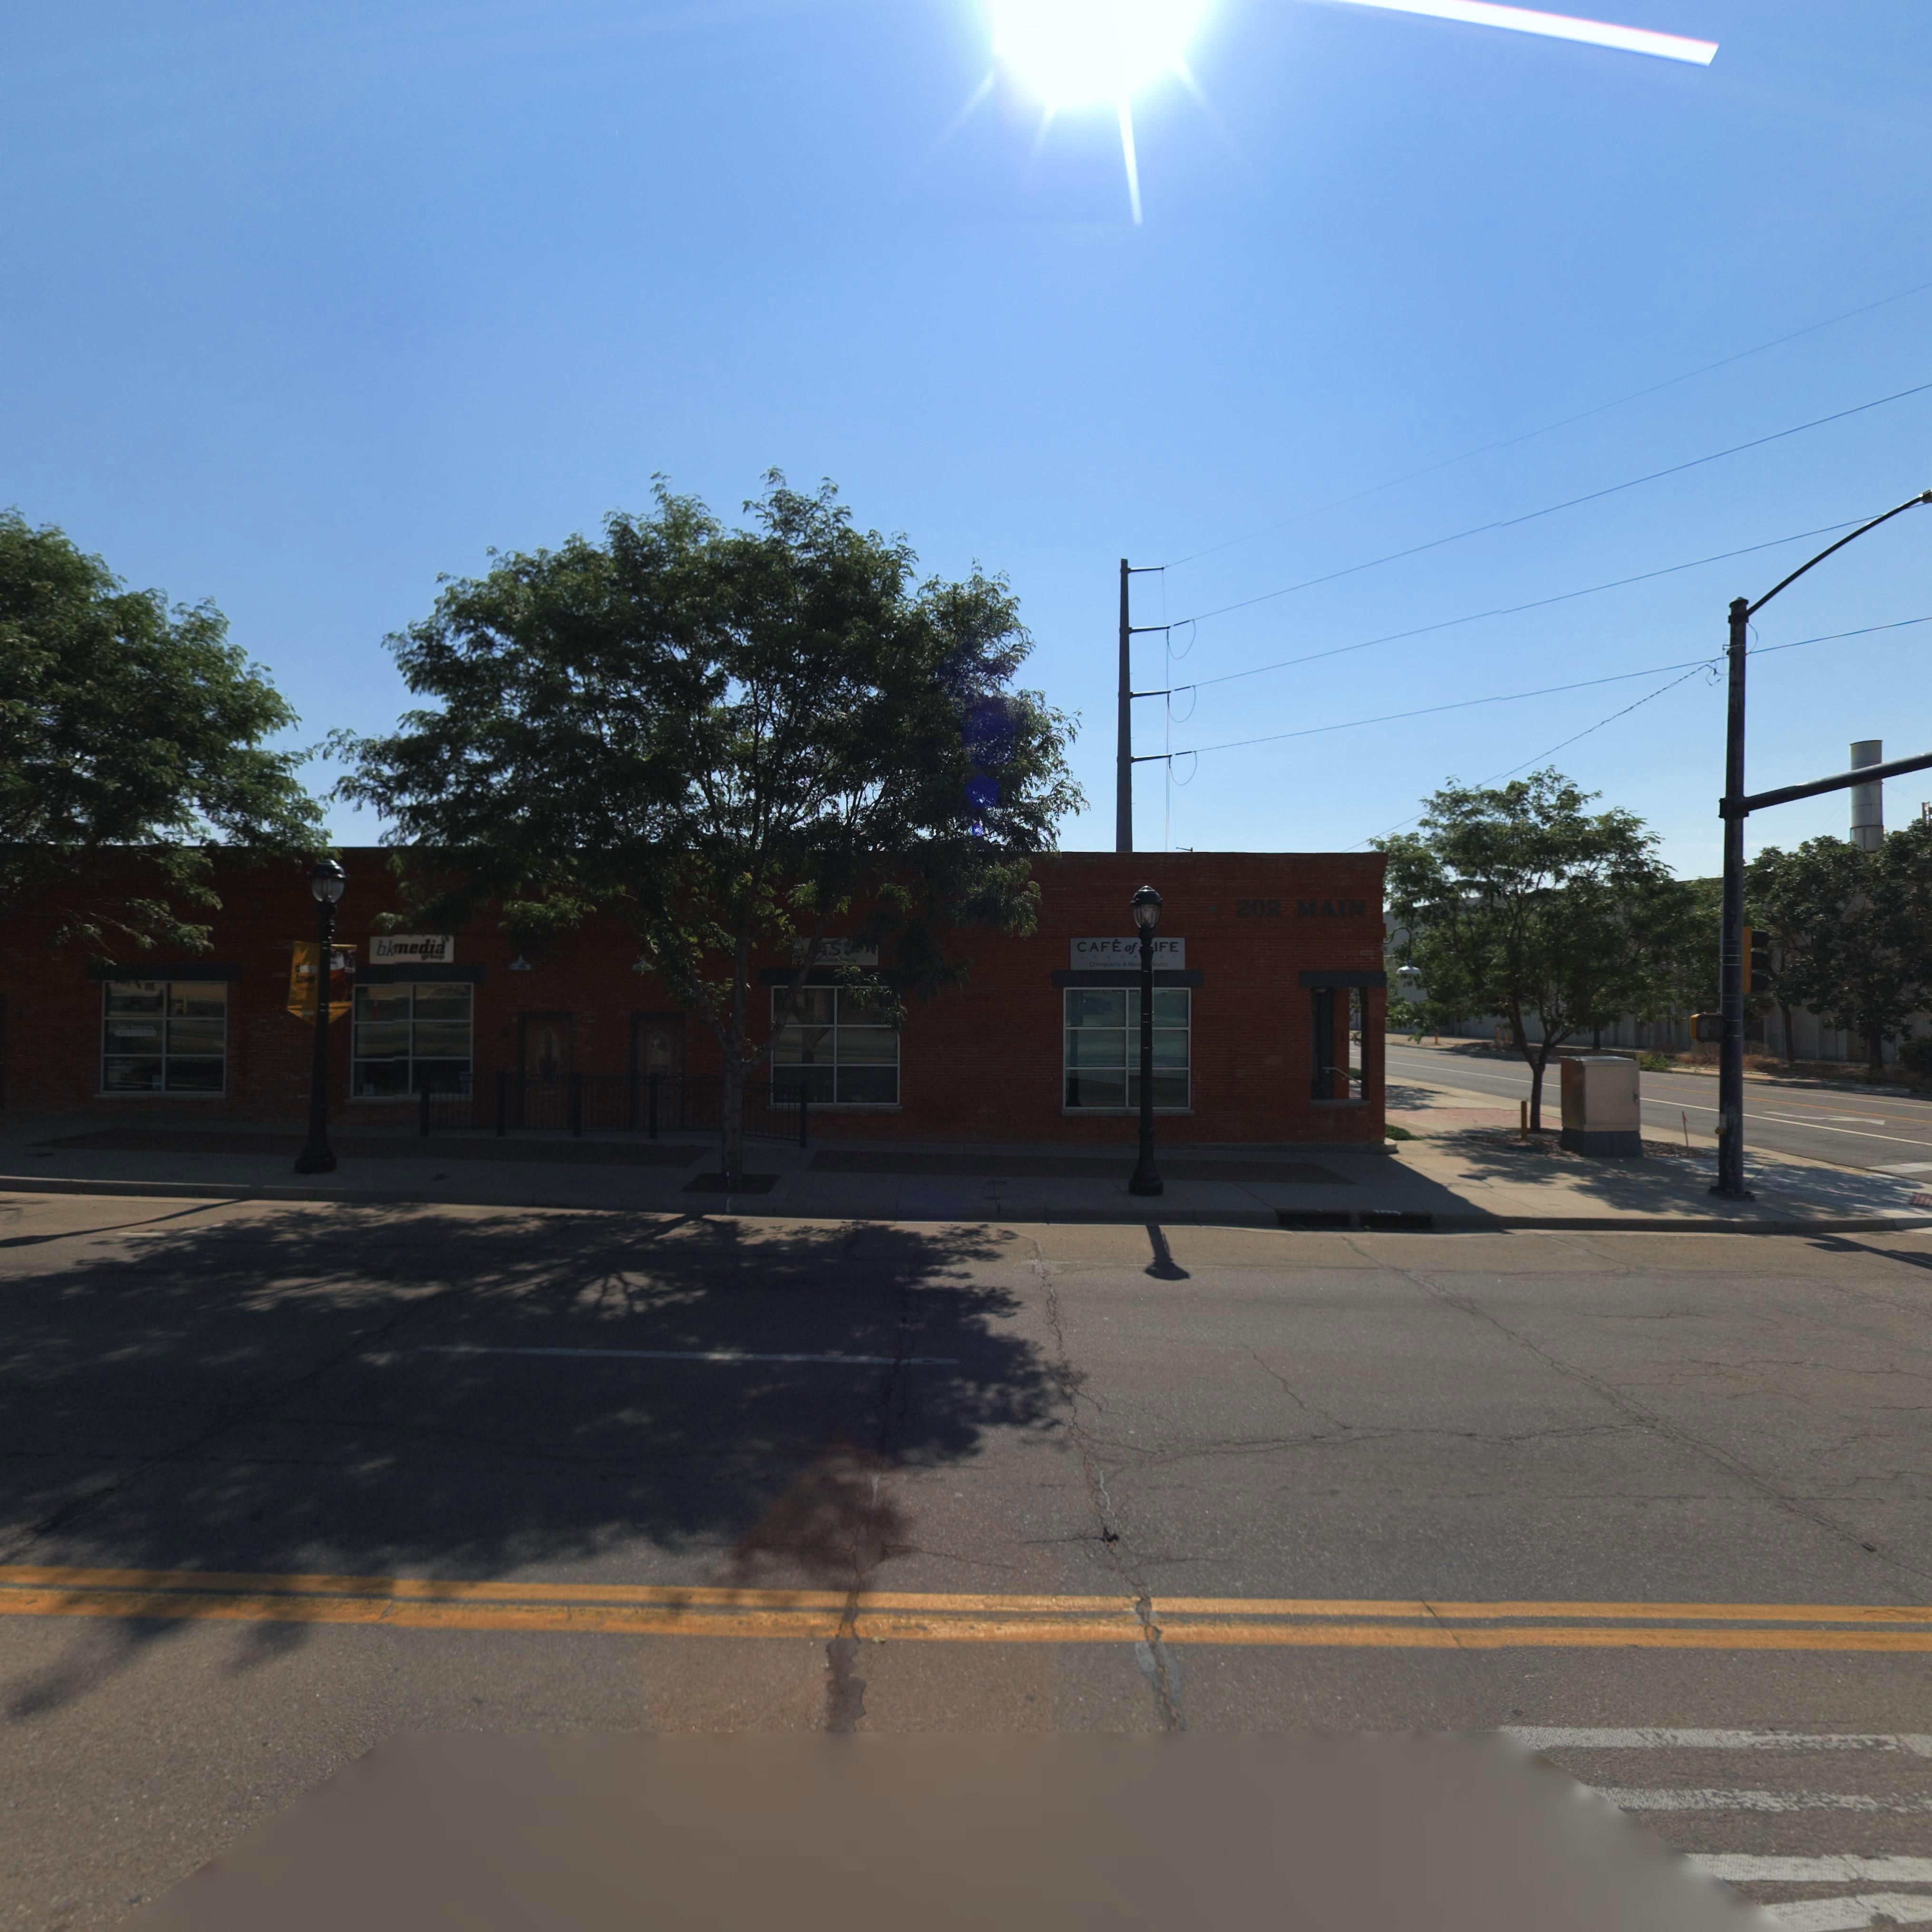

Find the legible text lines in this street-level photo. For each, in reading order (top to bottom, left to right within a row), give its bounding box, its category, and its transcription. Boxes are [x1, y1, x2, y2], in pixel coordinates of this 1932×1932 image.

[1235, 898, 1282, 918] StreetNumber: 202
[376, 937, 446, 956] BusinessName: bkmedia
[815, 940, 856, 956] BusinessName: *S*
[1076, 938, 1179, 952] BusinessName: CAF* of *IFE
[420, 953, 445, 961] BusinessName: *roup